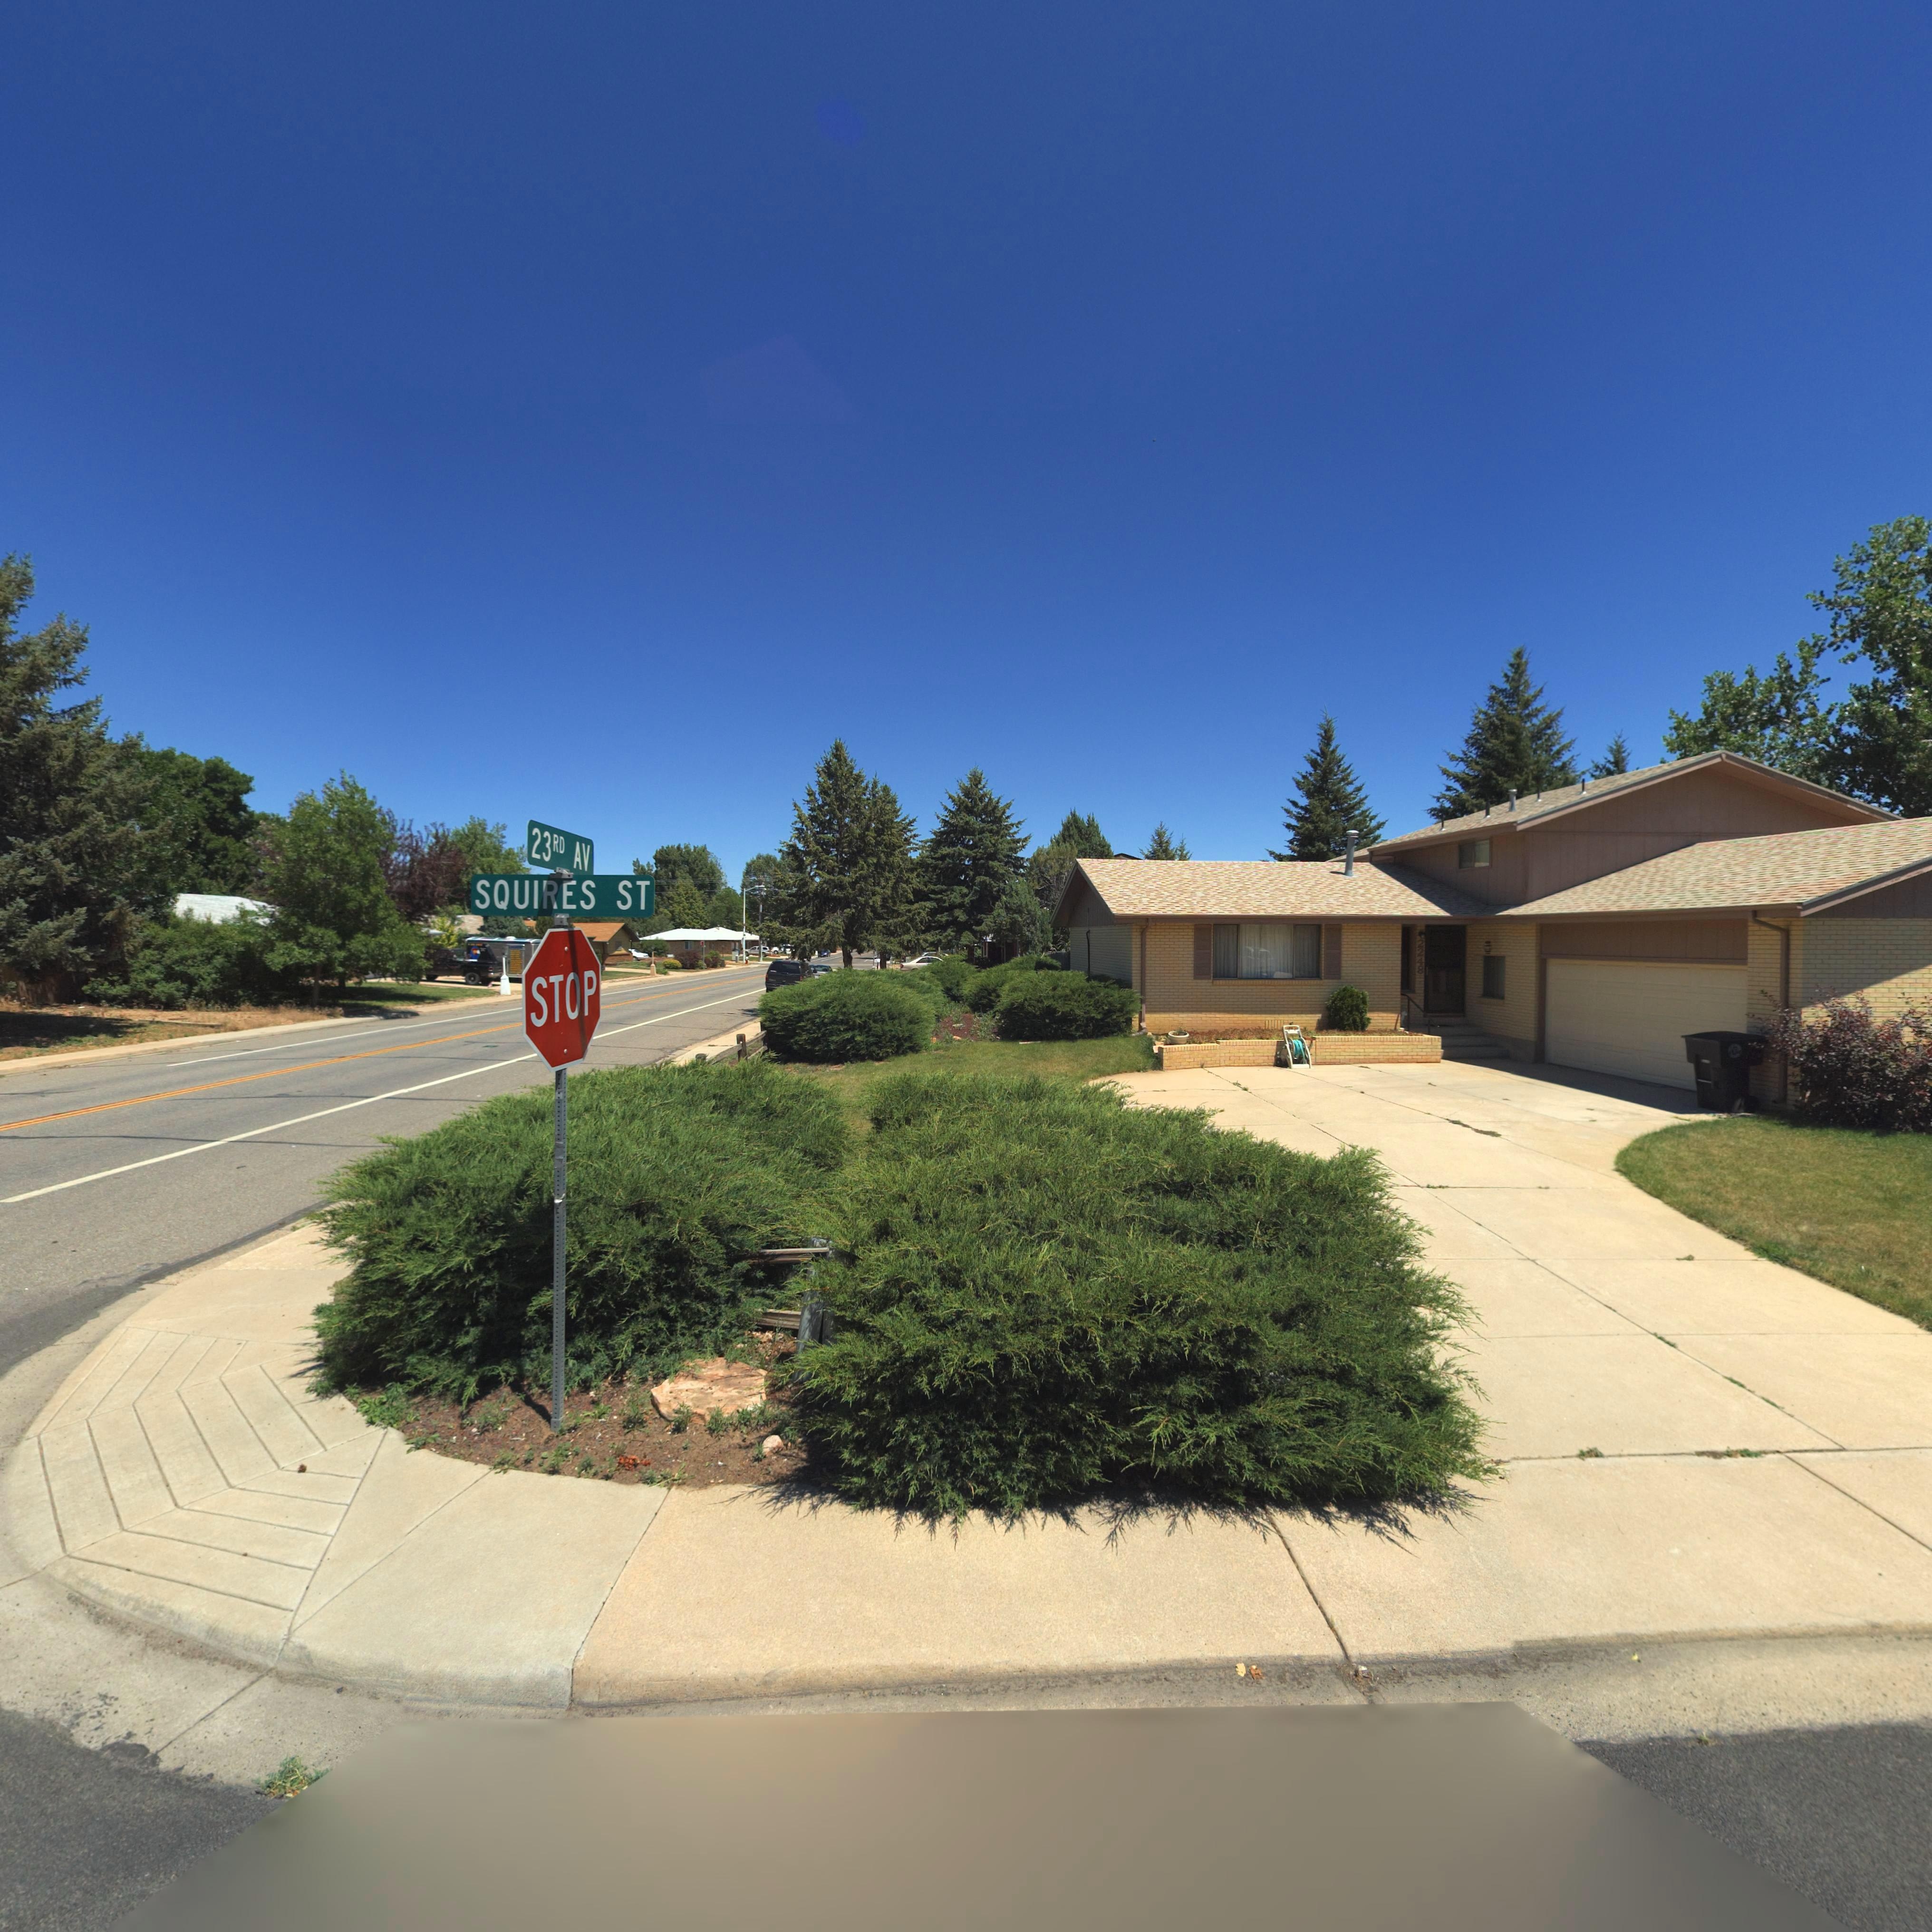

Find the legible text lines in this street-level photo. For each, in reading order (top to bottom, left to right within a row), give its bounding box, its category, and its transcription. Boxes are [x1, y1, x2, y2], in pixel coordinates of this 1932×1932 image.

[475, 878, 655, 916] BusinessName: SQUIRES ST
[529, 965, 599, 1029] None: STOP